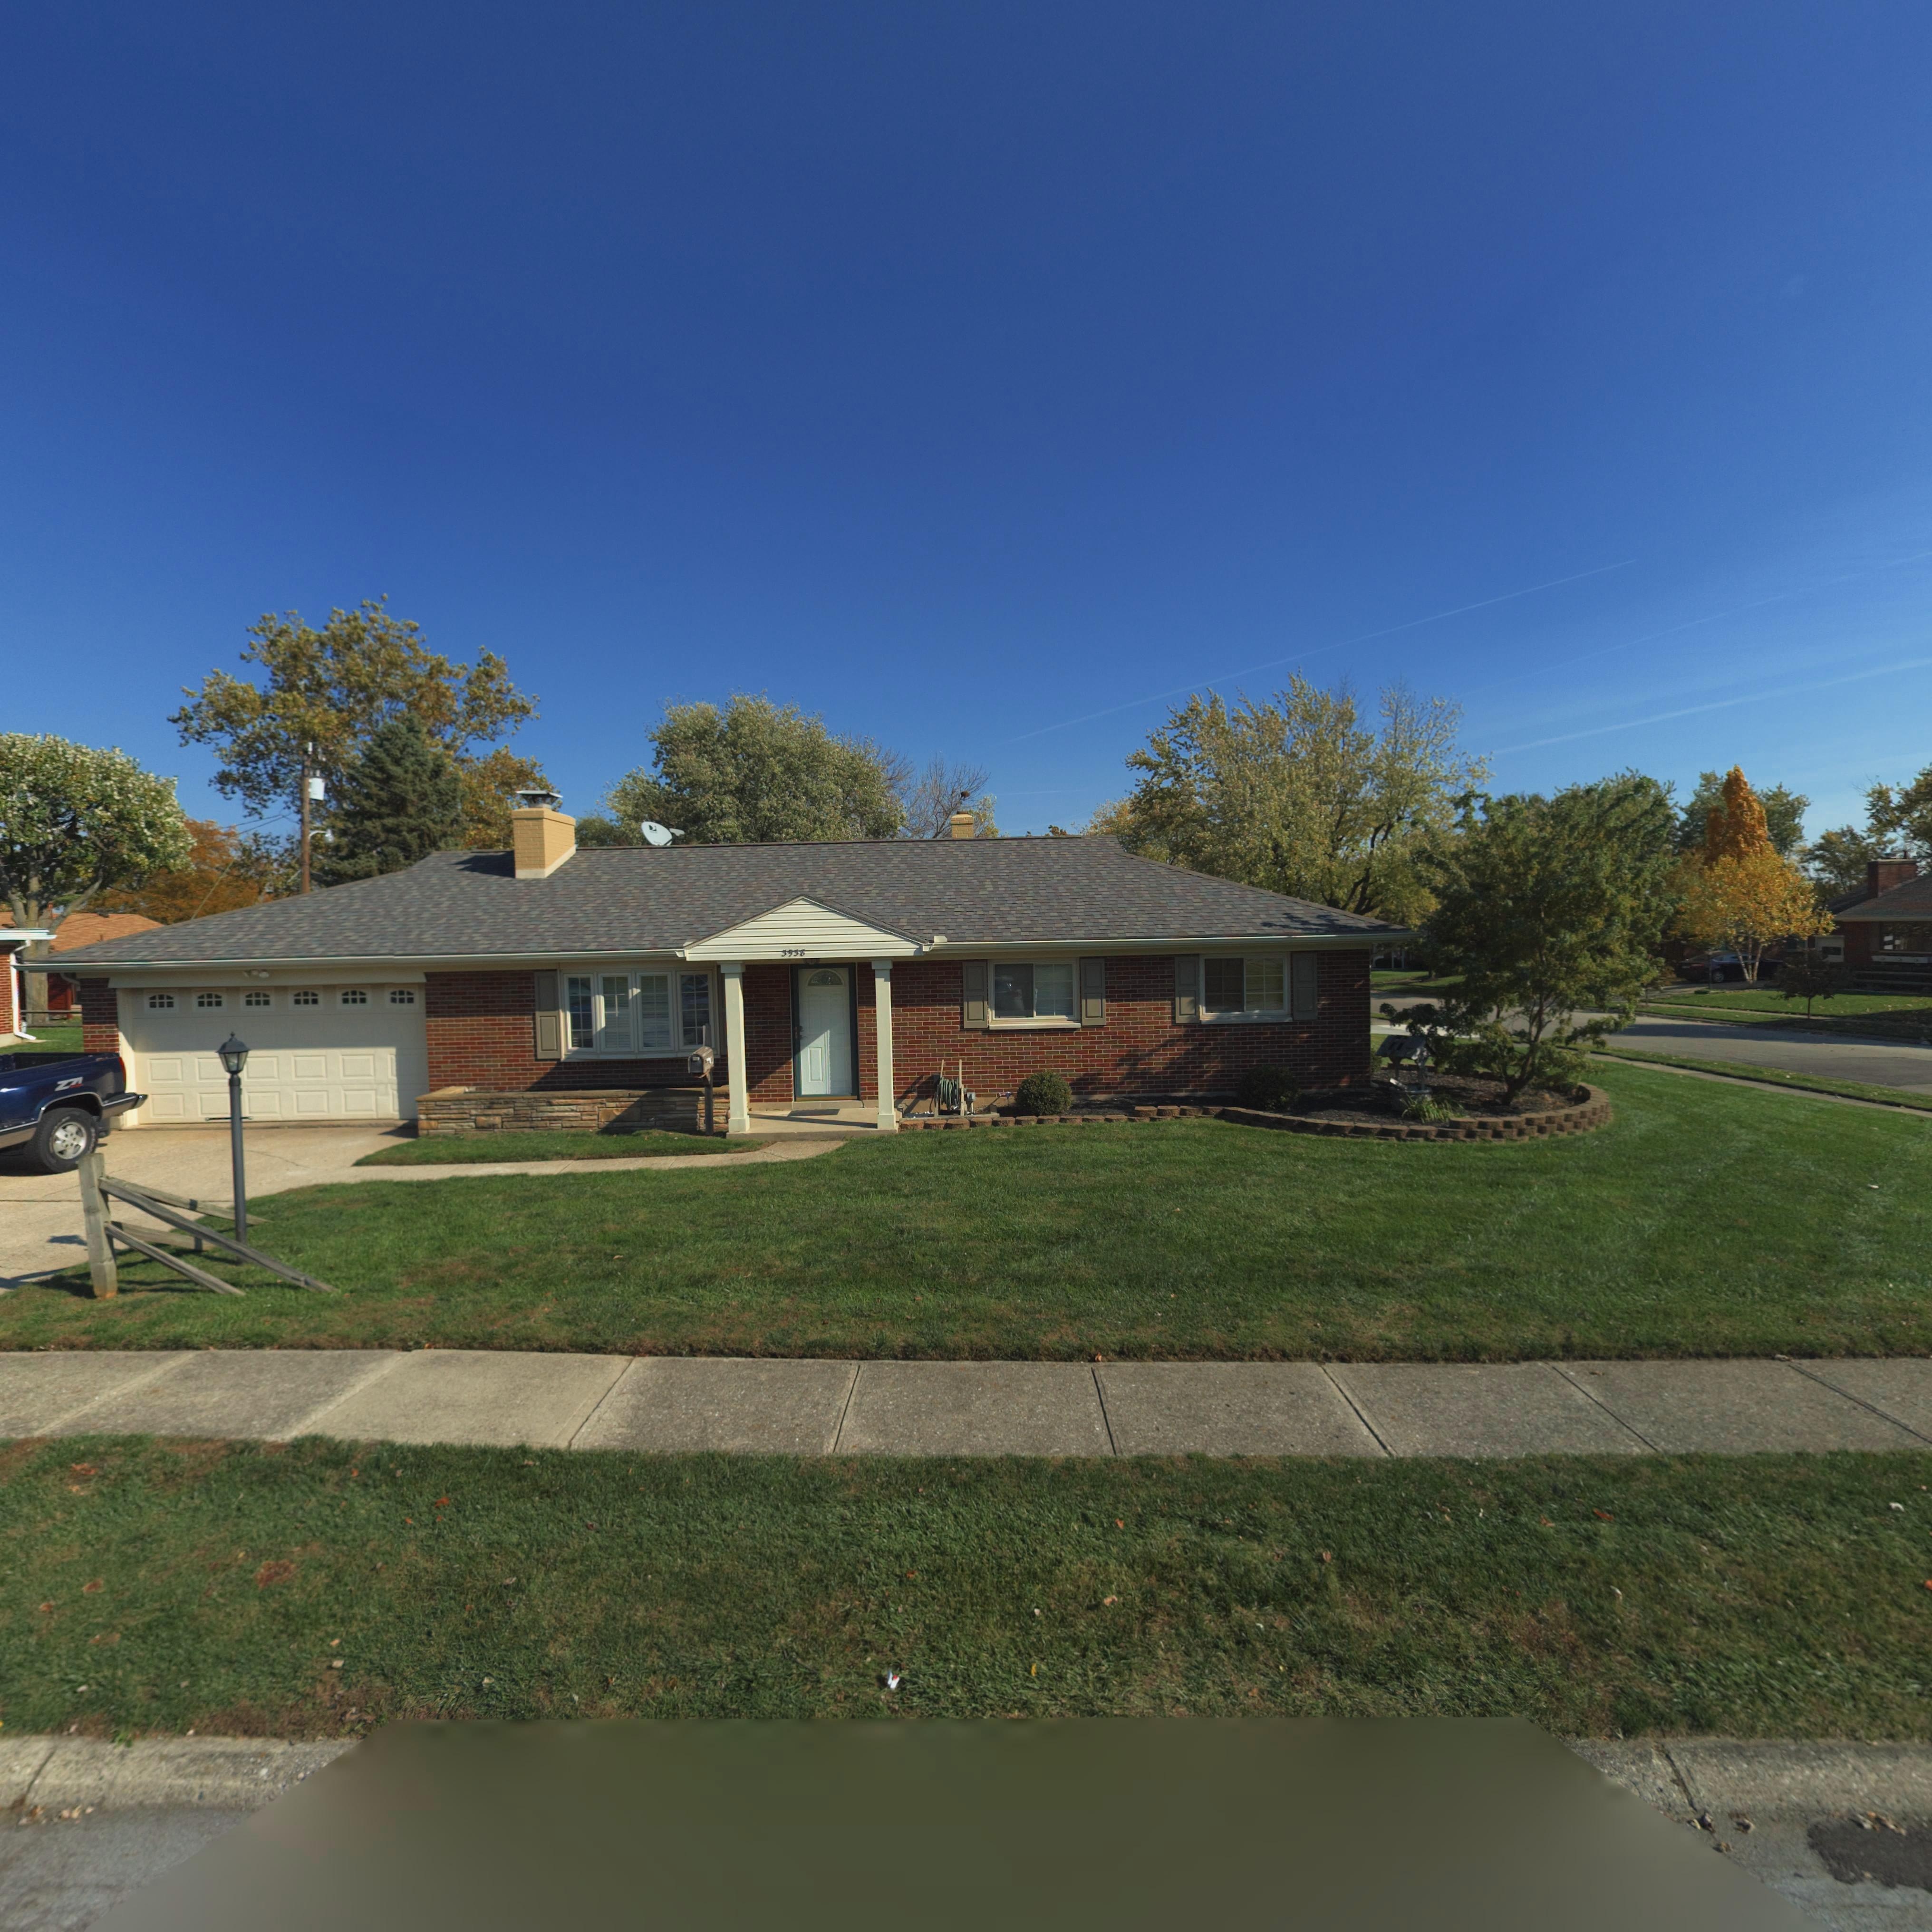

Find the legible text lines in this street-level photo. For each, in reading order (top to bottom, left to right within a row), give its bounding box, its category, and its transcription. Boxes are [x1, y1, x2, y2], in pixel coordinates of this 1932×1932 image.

[781, 948, 805, 957] StreetNumber: 3938
[53, 1076, 83, 1093] None: Z71